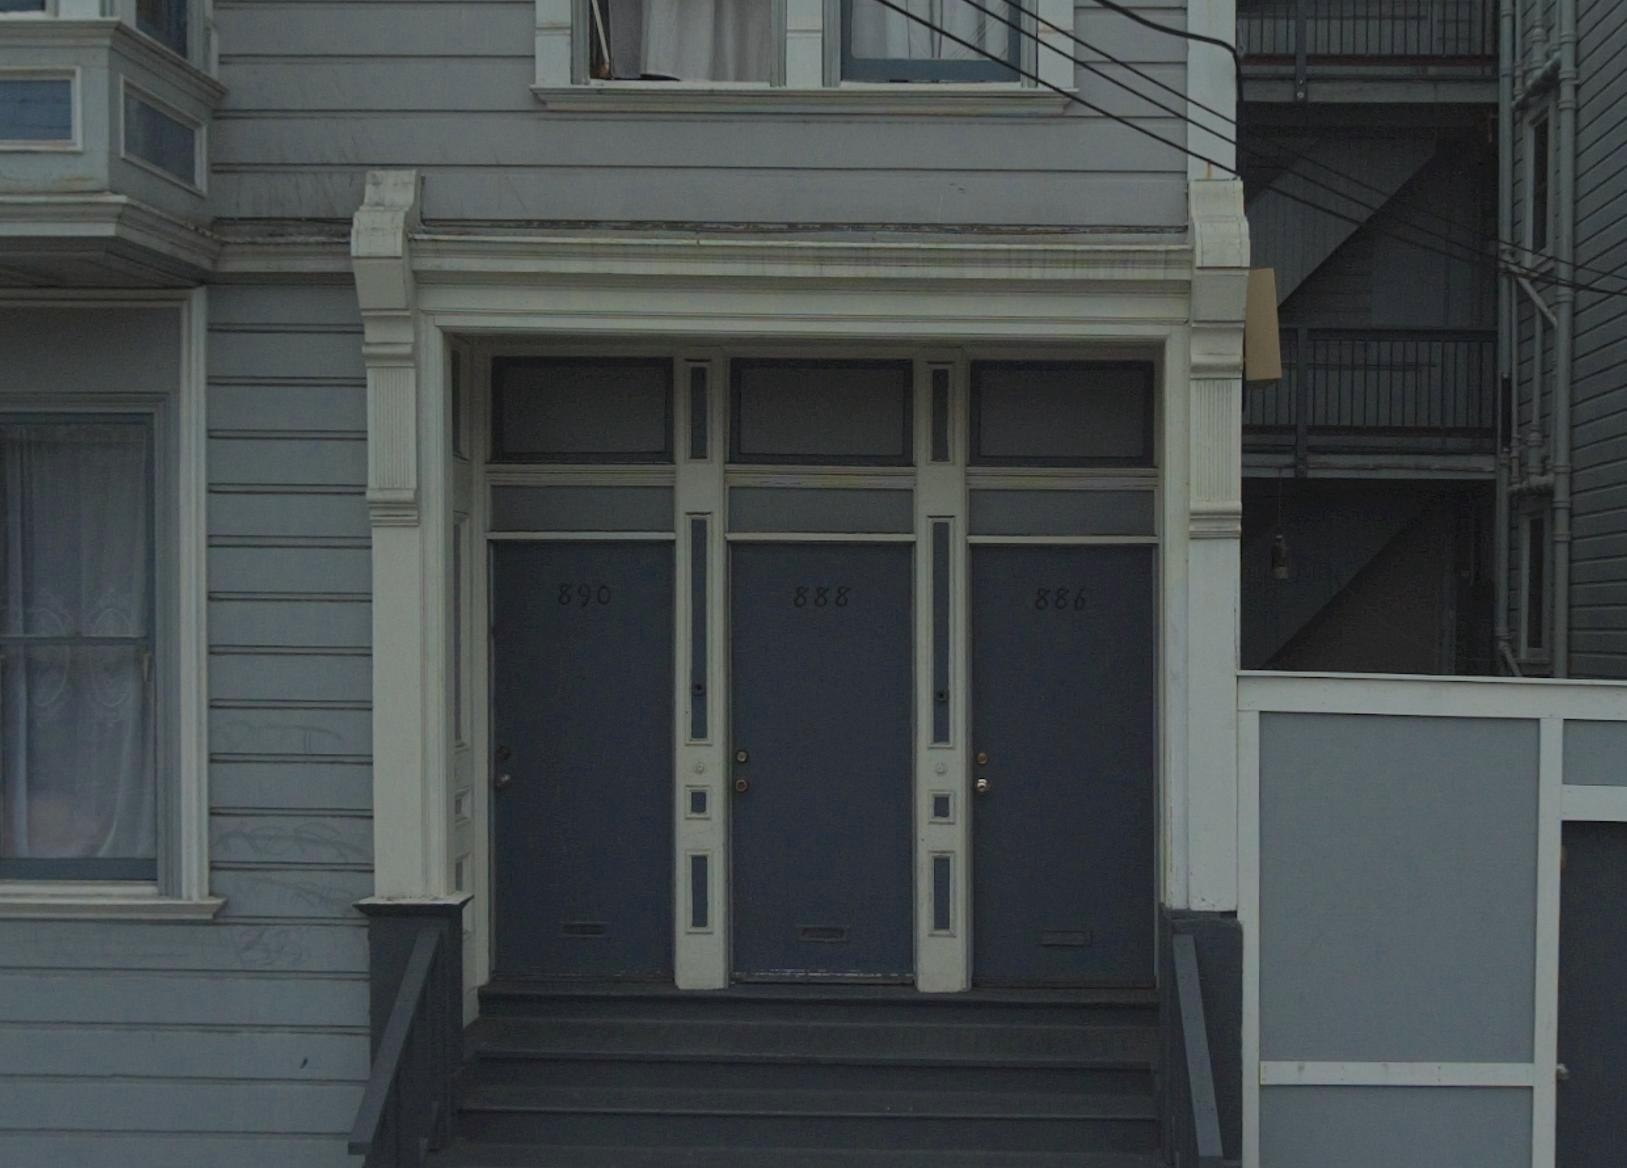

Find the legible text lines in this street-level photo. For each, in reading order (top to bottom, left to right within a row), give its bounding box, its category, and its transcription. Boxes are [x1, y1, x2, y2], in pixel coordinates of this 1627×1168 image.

[557, 580, 614, 610] StreetNumber: 890
[791, 586, 852, 608] StreetNumber: 888
[1034, 586, 1088, 612] StreetNumber: 886